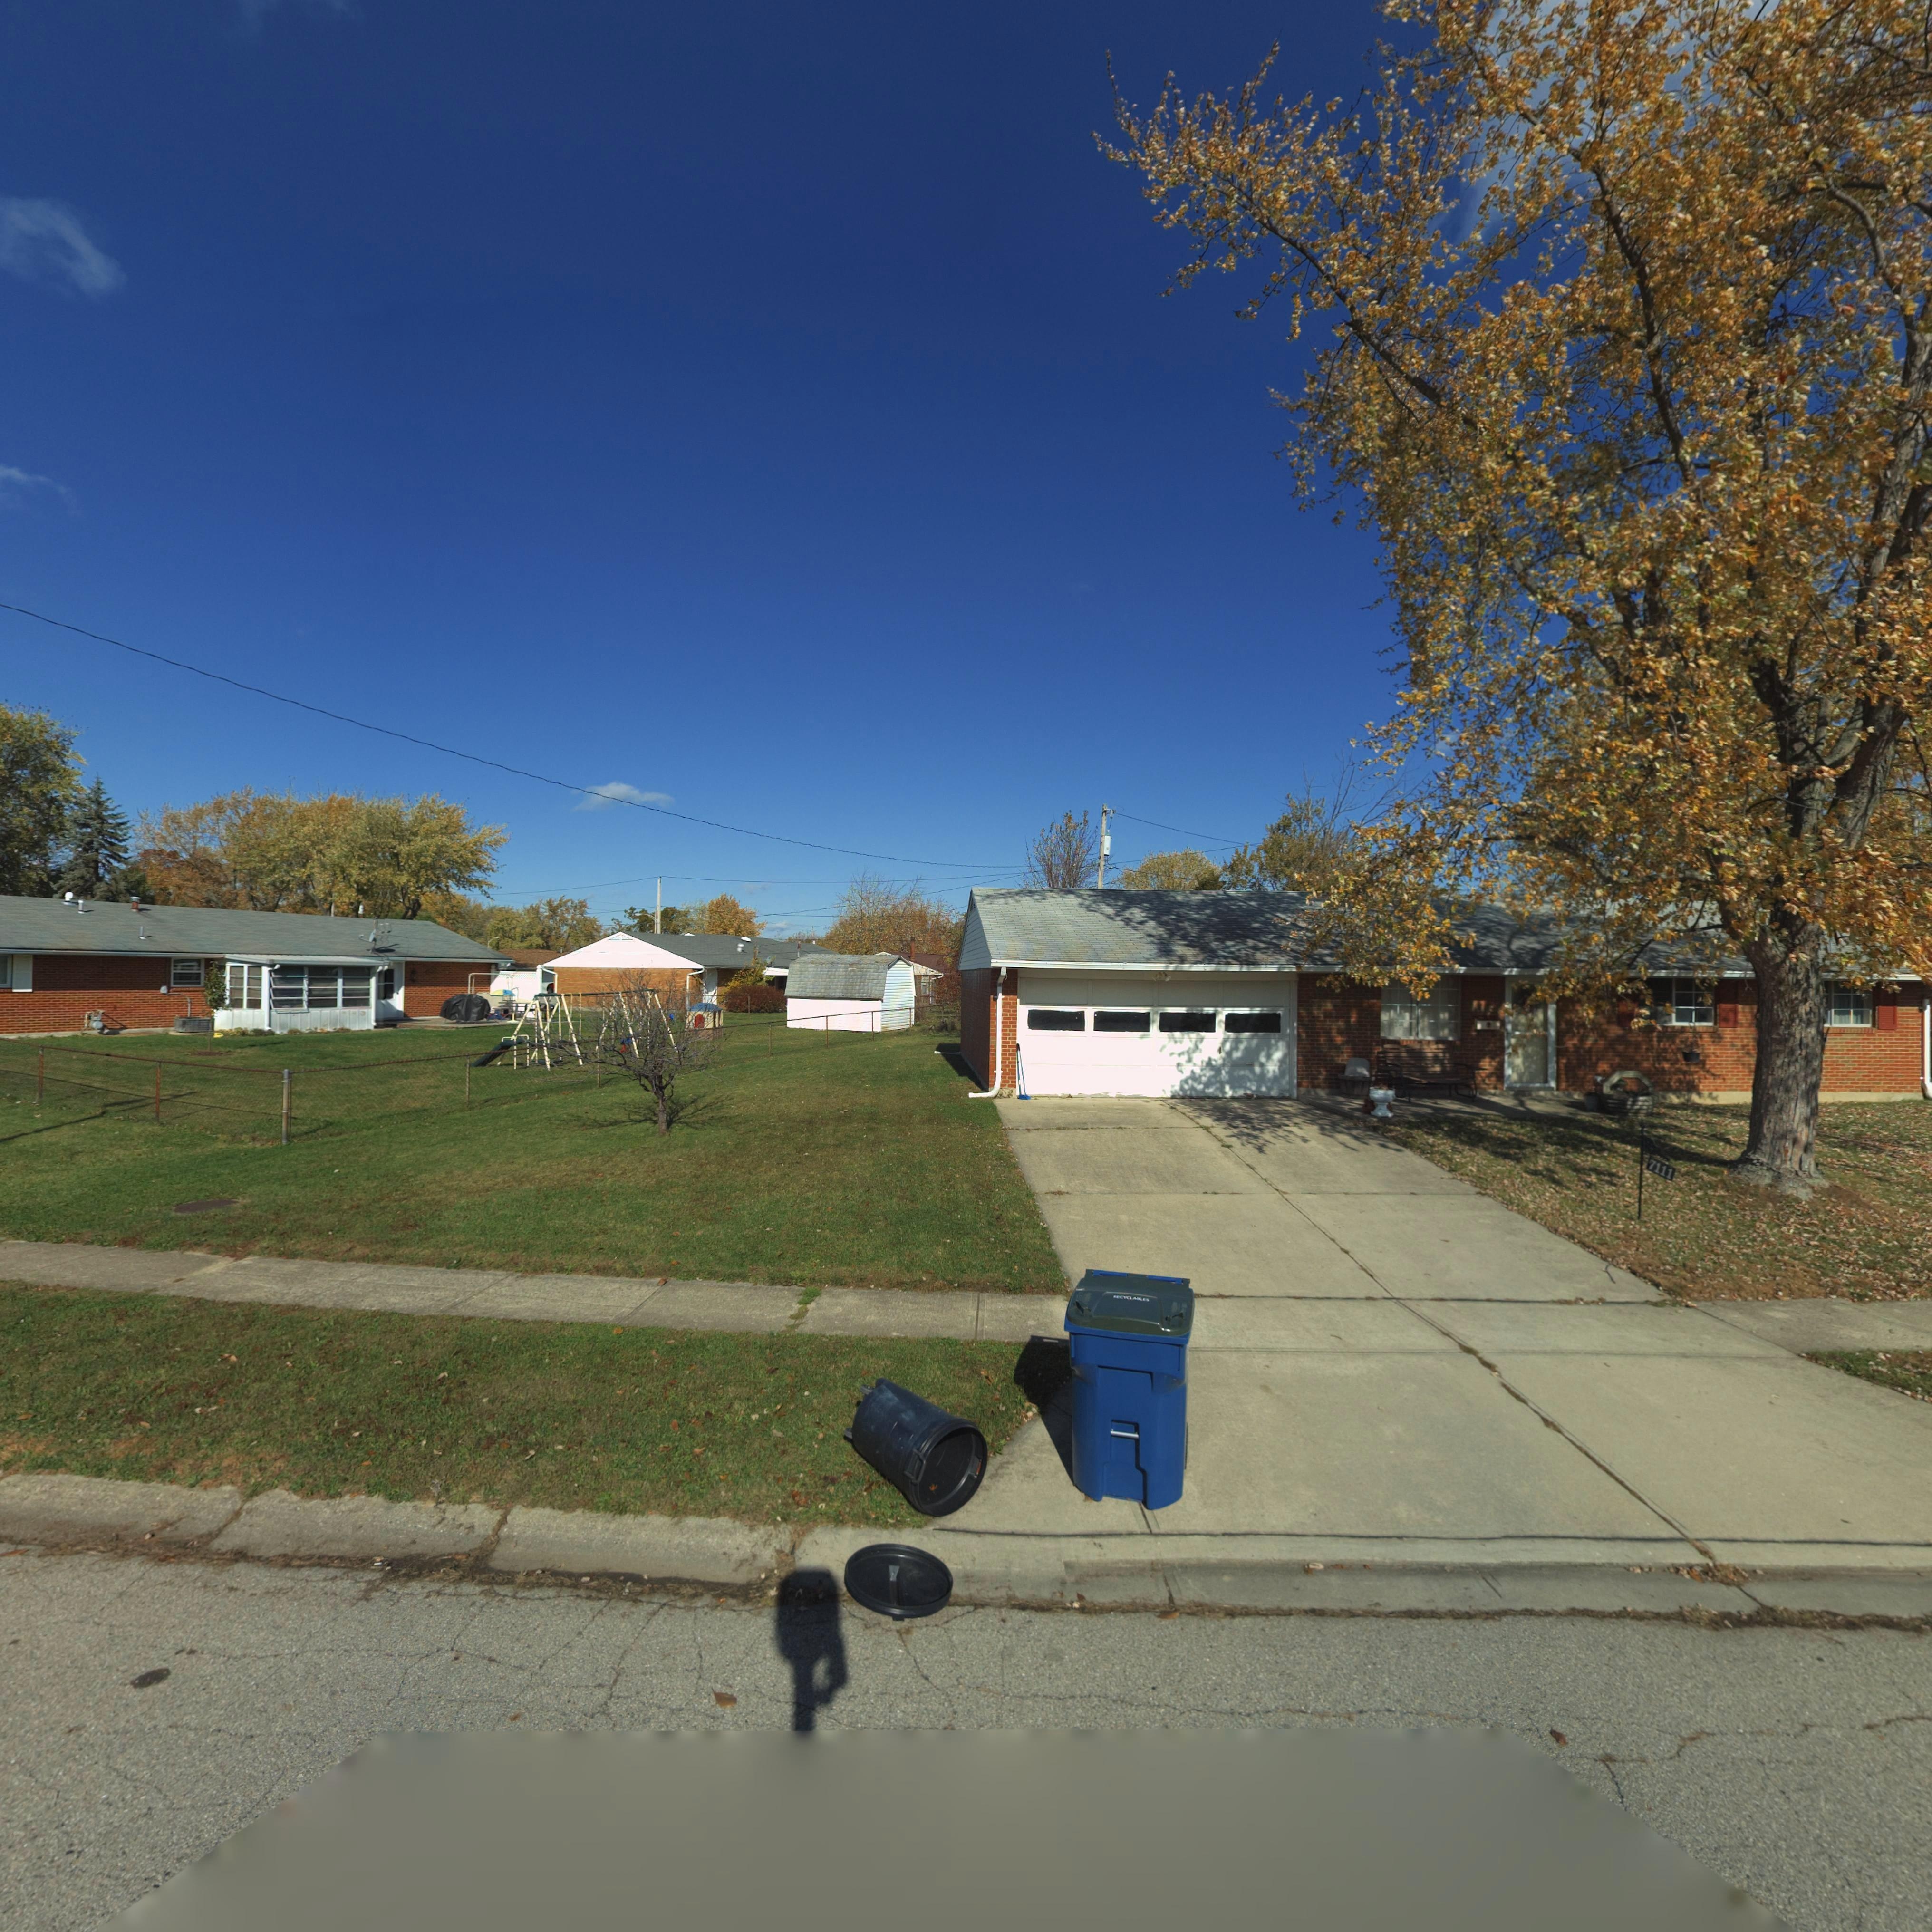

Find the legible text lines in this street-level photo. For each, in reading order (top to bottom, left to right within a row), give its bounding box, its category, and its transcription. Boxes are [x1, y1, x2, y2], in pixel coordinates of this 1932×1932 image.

[1647, 1158, 1674, 1181] StreetNumber: 7111